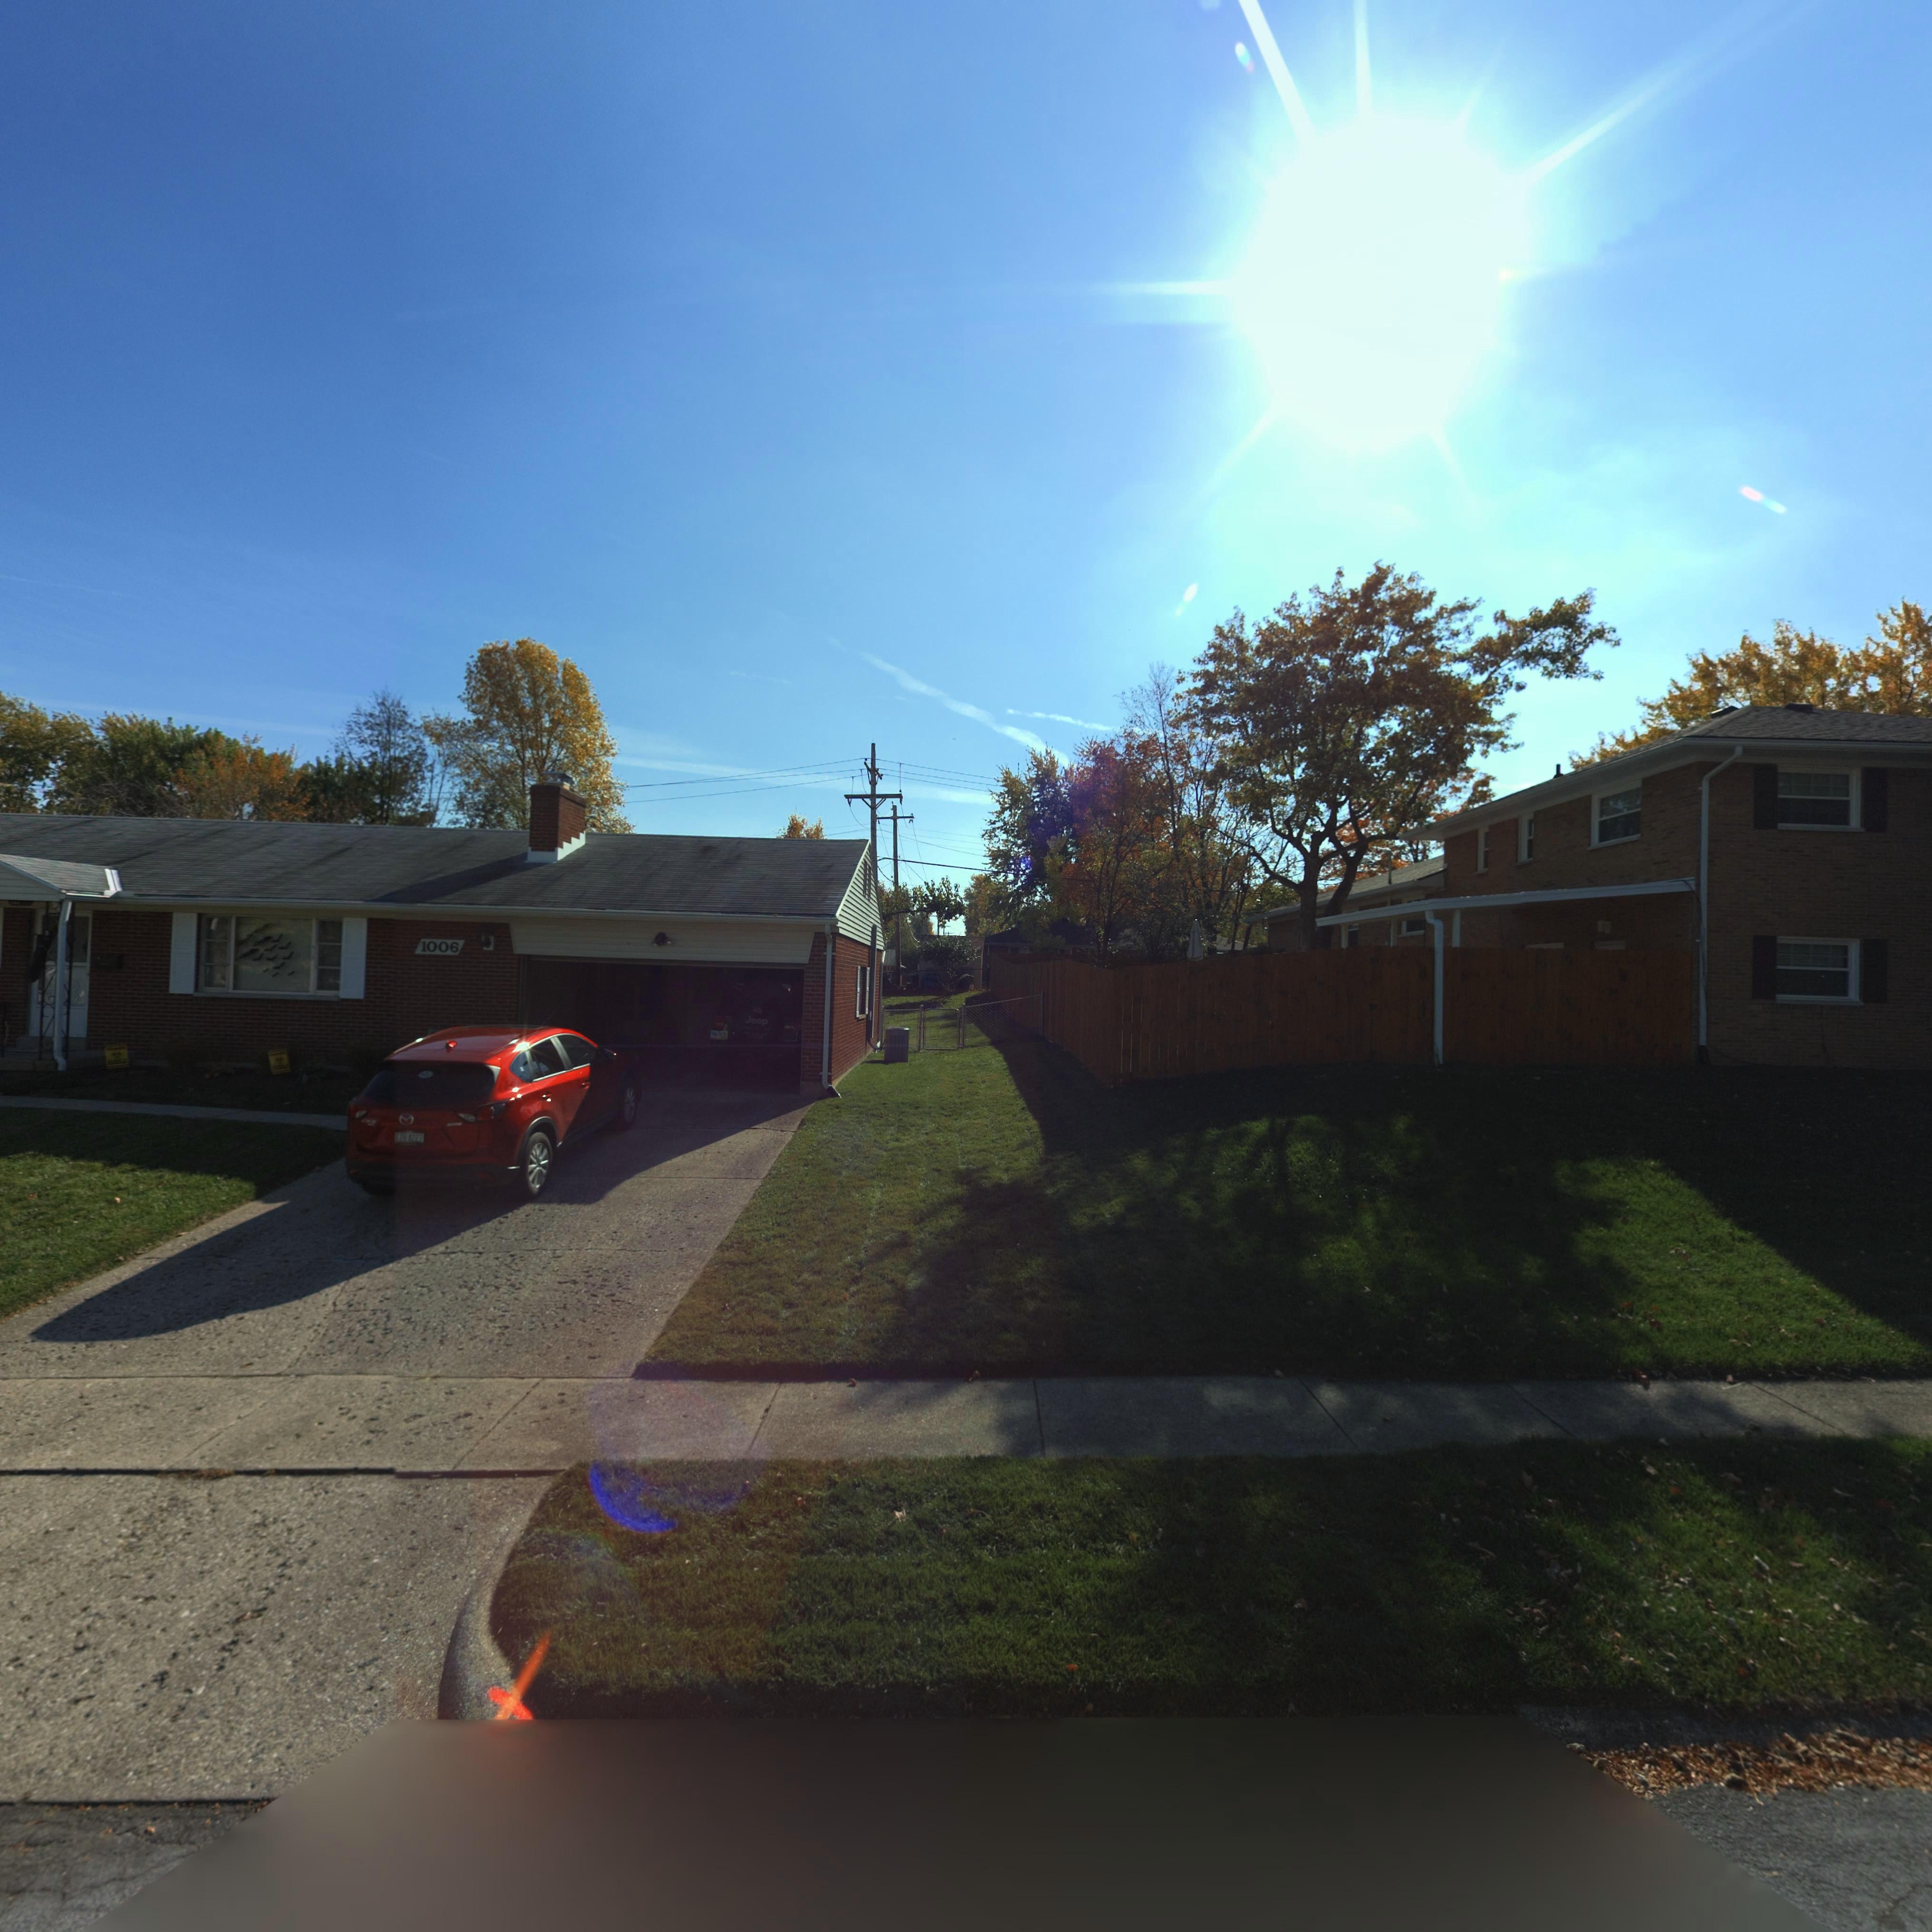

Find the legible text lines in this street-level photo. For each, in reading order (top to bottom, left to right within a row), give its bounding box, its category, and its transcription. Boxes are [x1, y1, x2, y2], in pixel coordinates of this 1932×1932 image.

[419, 939, 460, 954] StreetNumber: 1006\
[744, 1014, 770, 1028] None: Jeep